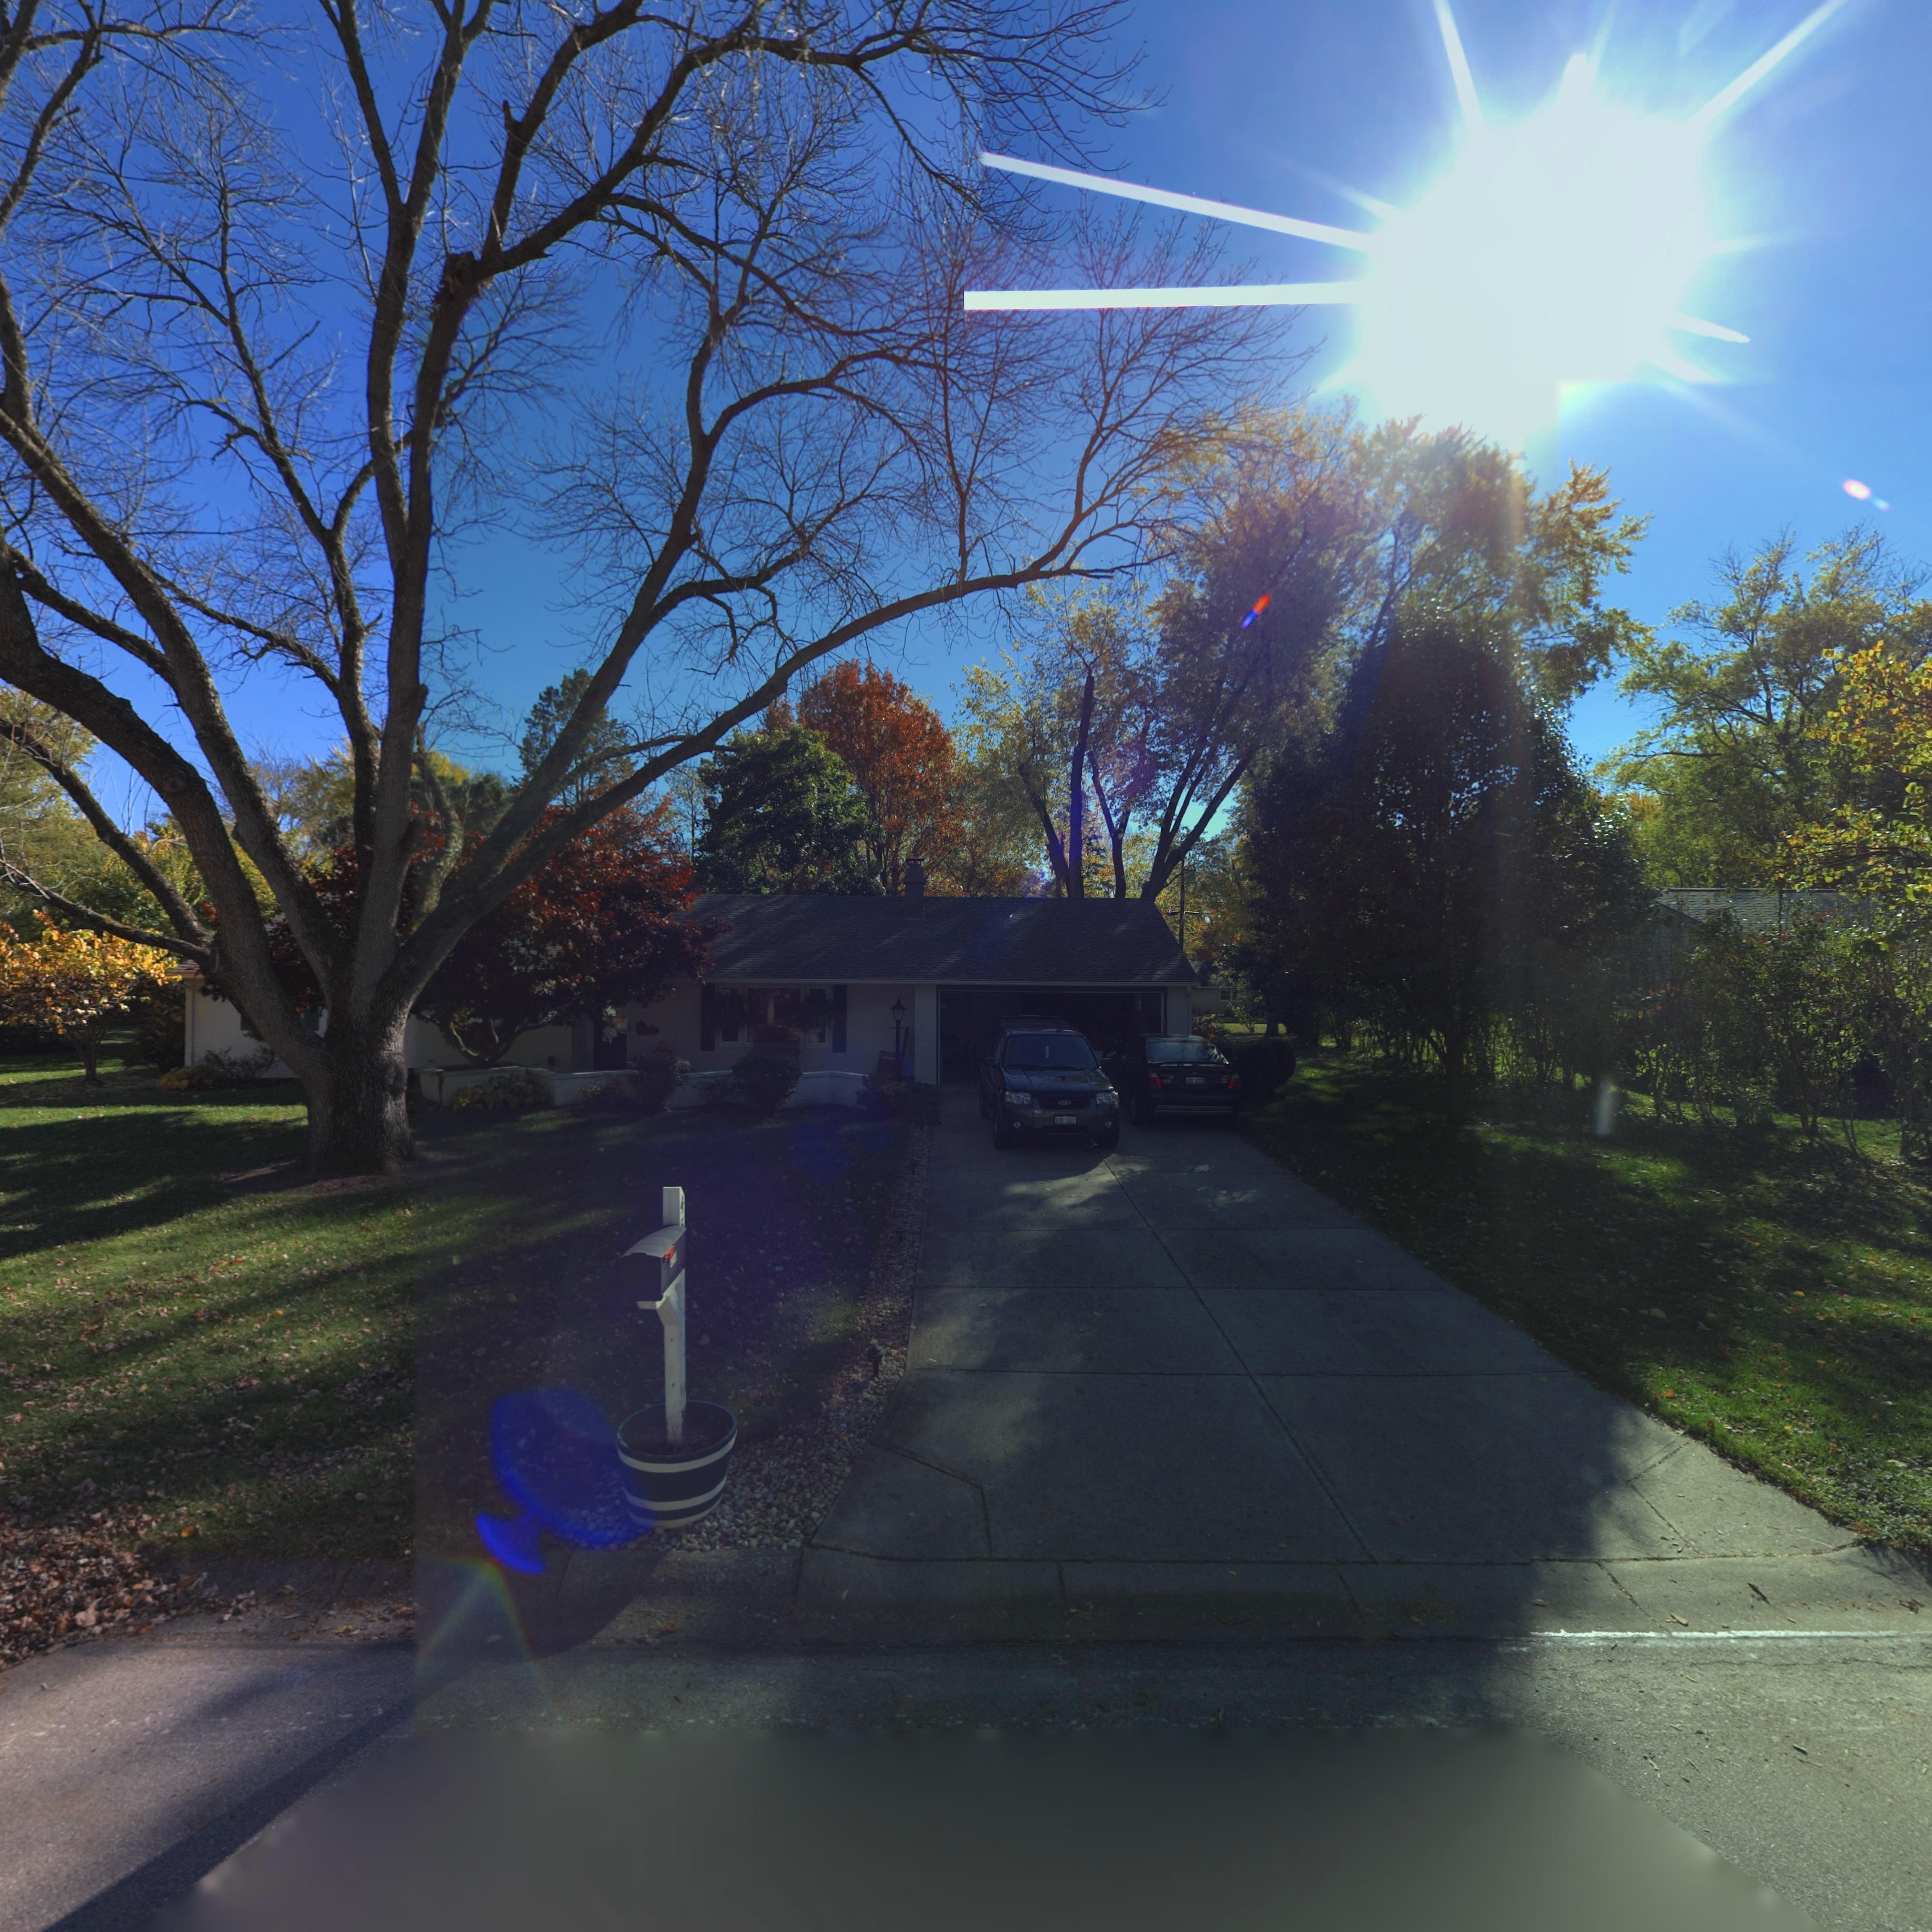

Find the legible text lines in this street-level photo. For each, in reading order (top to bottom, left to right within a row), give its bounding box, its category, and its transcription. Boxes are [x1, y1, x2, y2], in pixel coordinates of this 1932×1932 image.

[679, 1195, 685, 1216] StreetNumber: 4